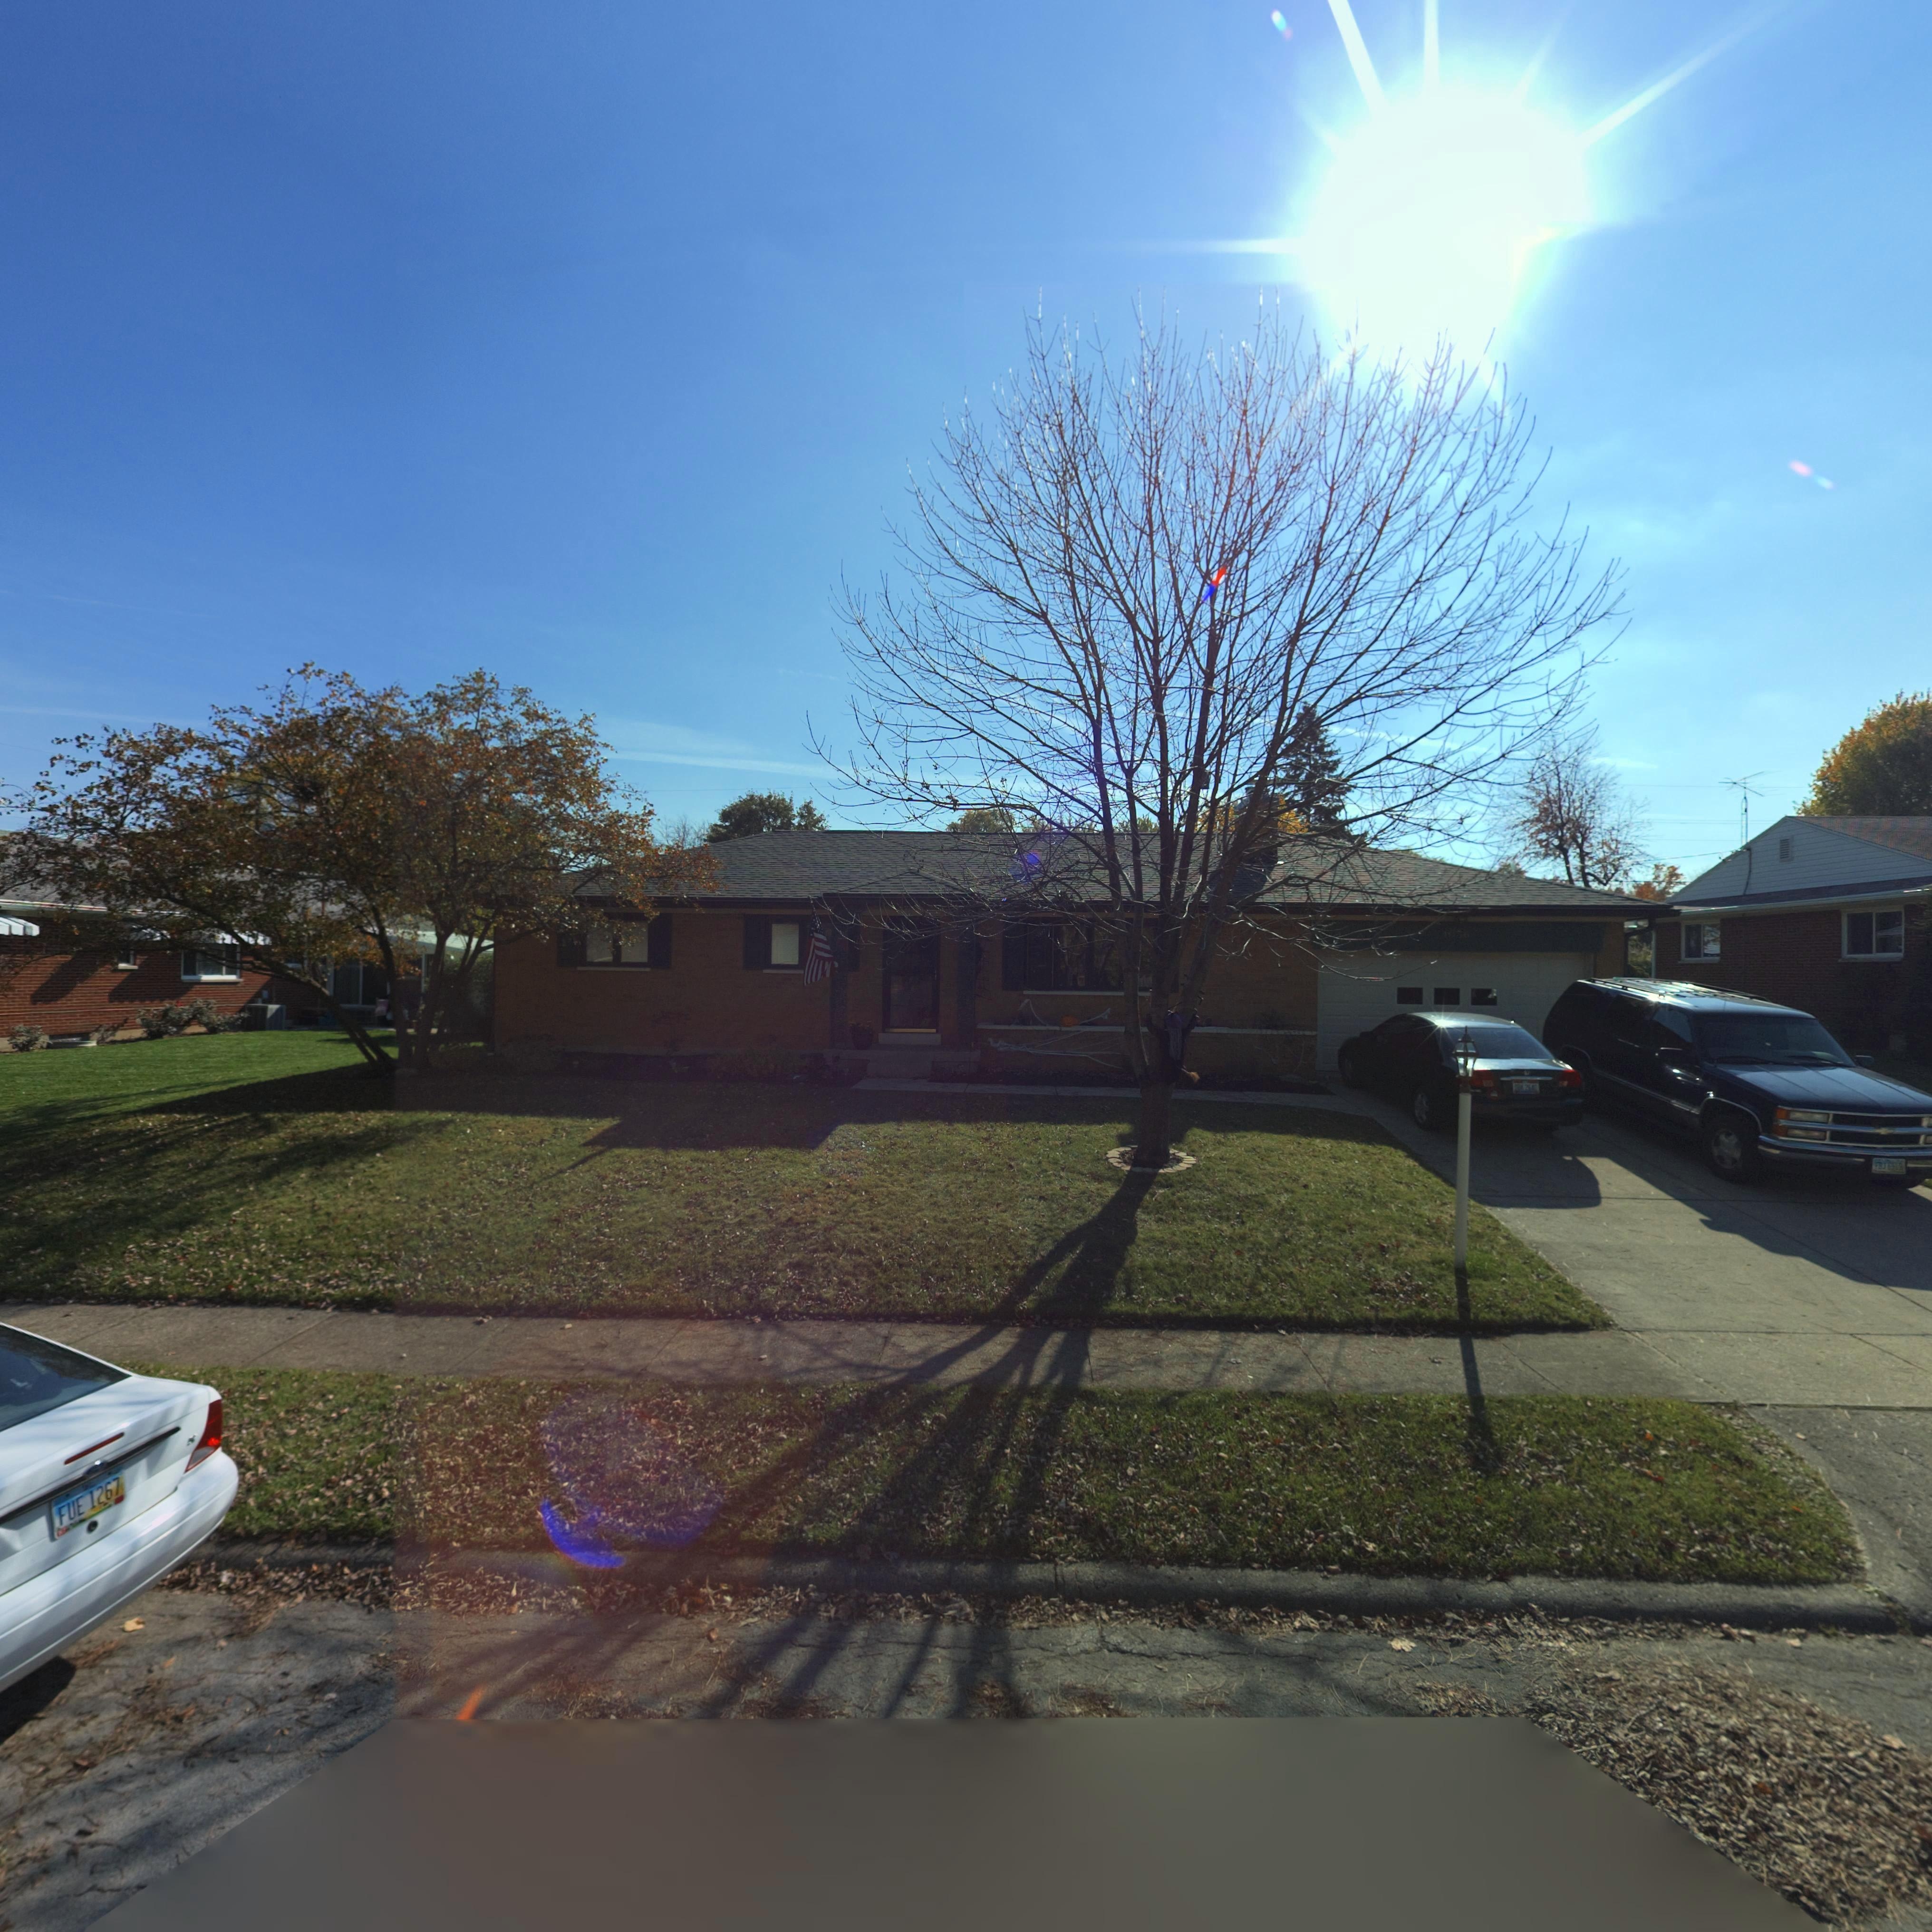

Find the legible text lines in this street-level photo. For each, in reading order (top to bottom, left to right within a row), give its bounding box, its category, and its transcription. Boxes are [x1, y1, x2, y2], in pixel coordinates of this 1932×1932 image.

[56, 1473, 122, 1530] None: FUE 1267